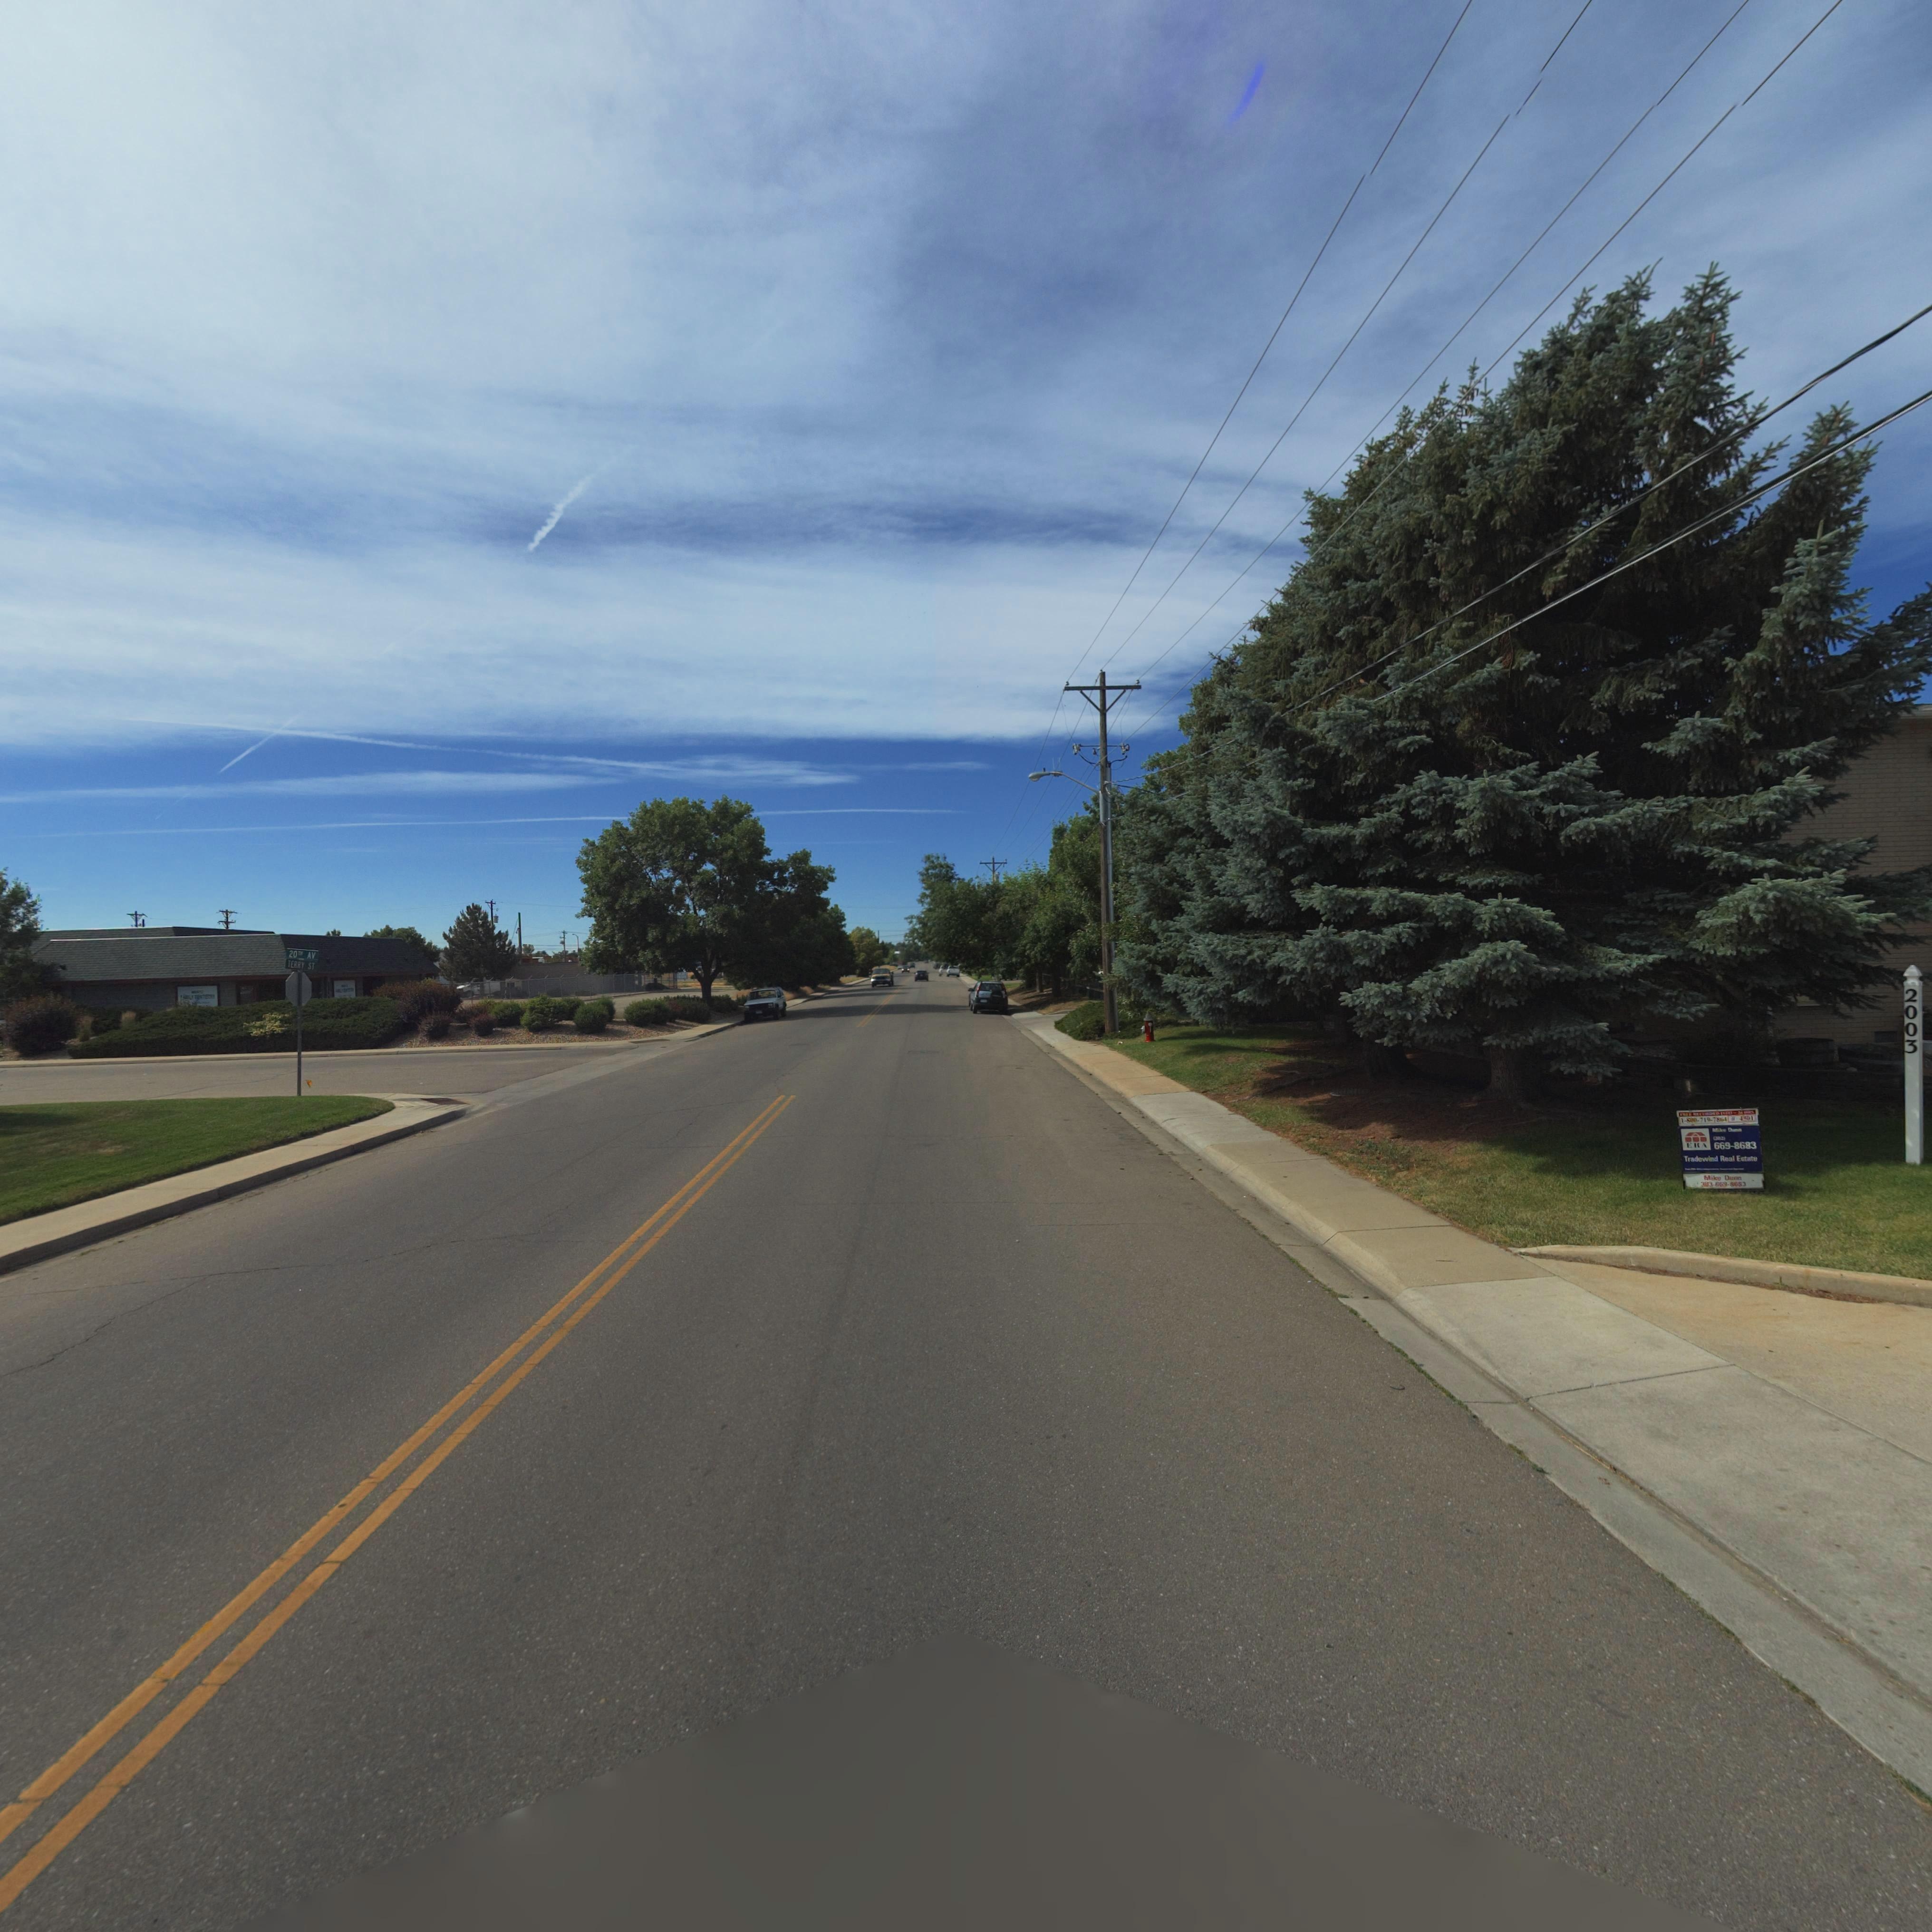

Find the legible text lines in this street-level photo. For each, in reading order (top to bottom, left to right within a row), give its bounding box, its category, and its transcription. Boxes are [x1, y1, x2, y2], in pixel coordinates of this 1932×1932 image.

[288, 949, 317, 959] StreetName: 20TH AV
[287, 959, 316, 970] StreetName: TE*RY ST
[1903, 987, 1919, 1055] StreetNumber: 2003